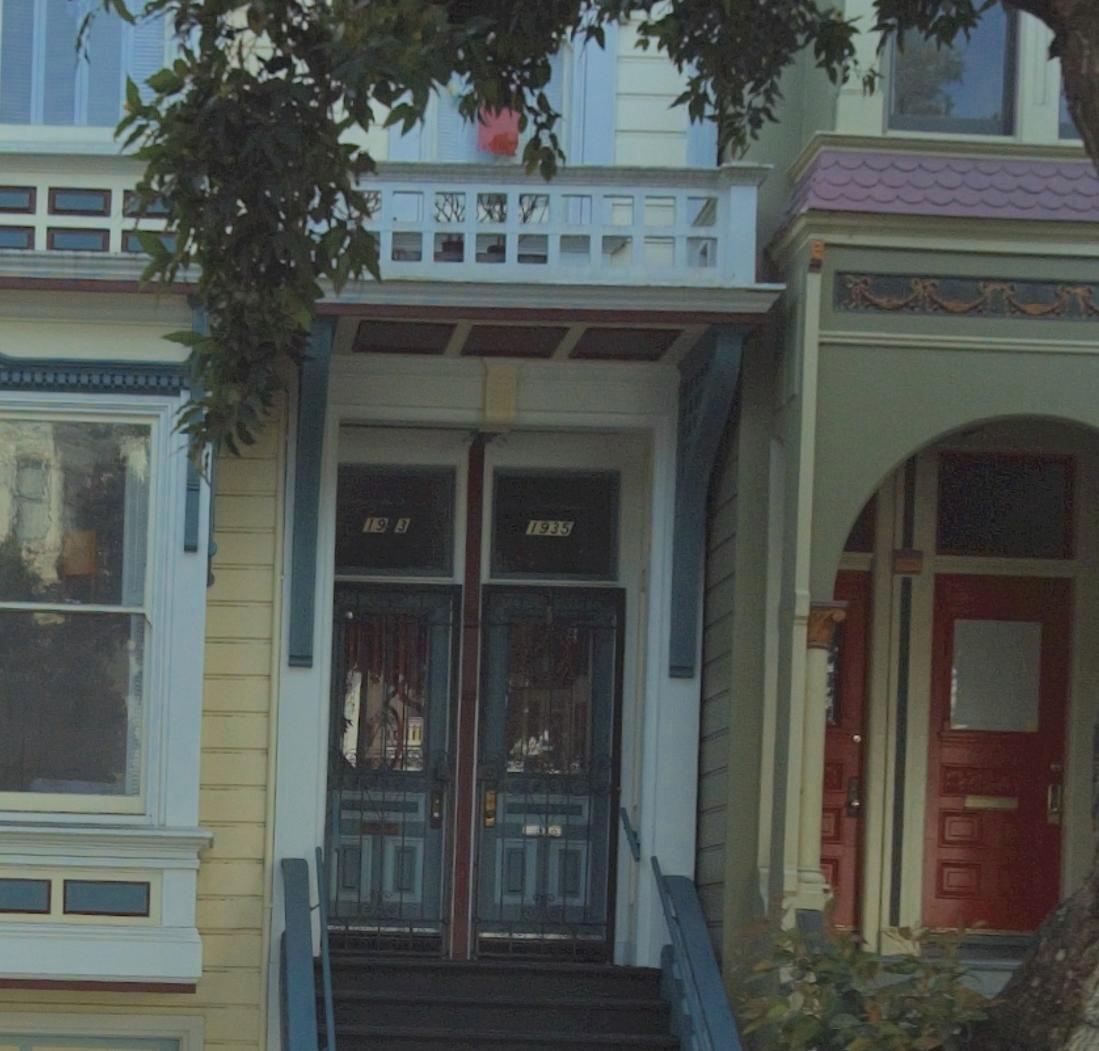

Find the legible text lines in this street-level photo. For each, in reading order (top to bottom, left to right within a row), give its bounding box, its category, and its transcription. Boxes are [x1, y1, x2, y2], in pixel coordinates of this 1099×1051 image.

[364, 515, 410, 534] StreetNumber: 19*3
[527, 520, 572, 537] StreetNumber: 1935